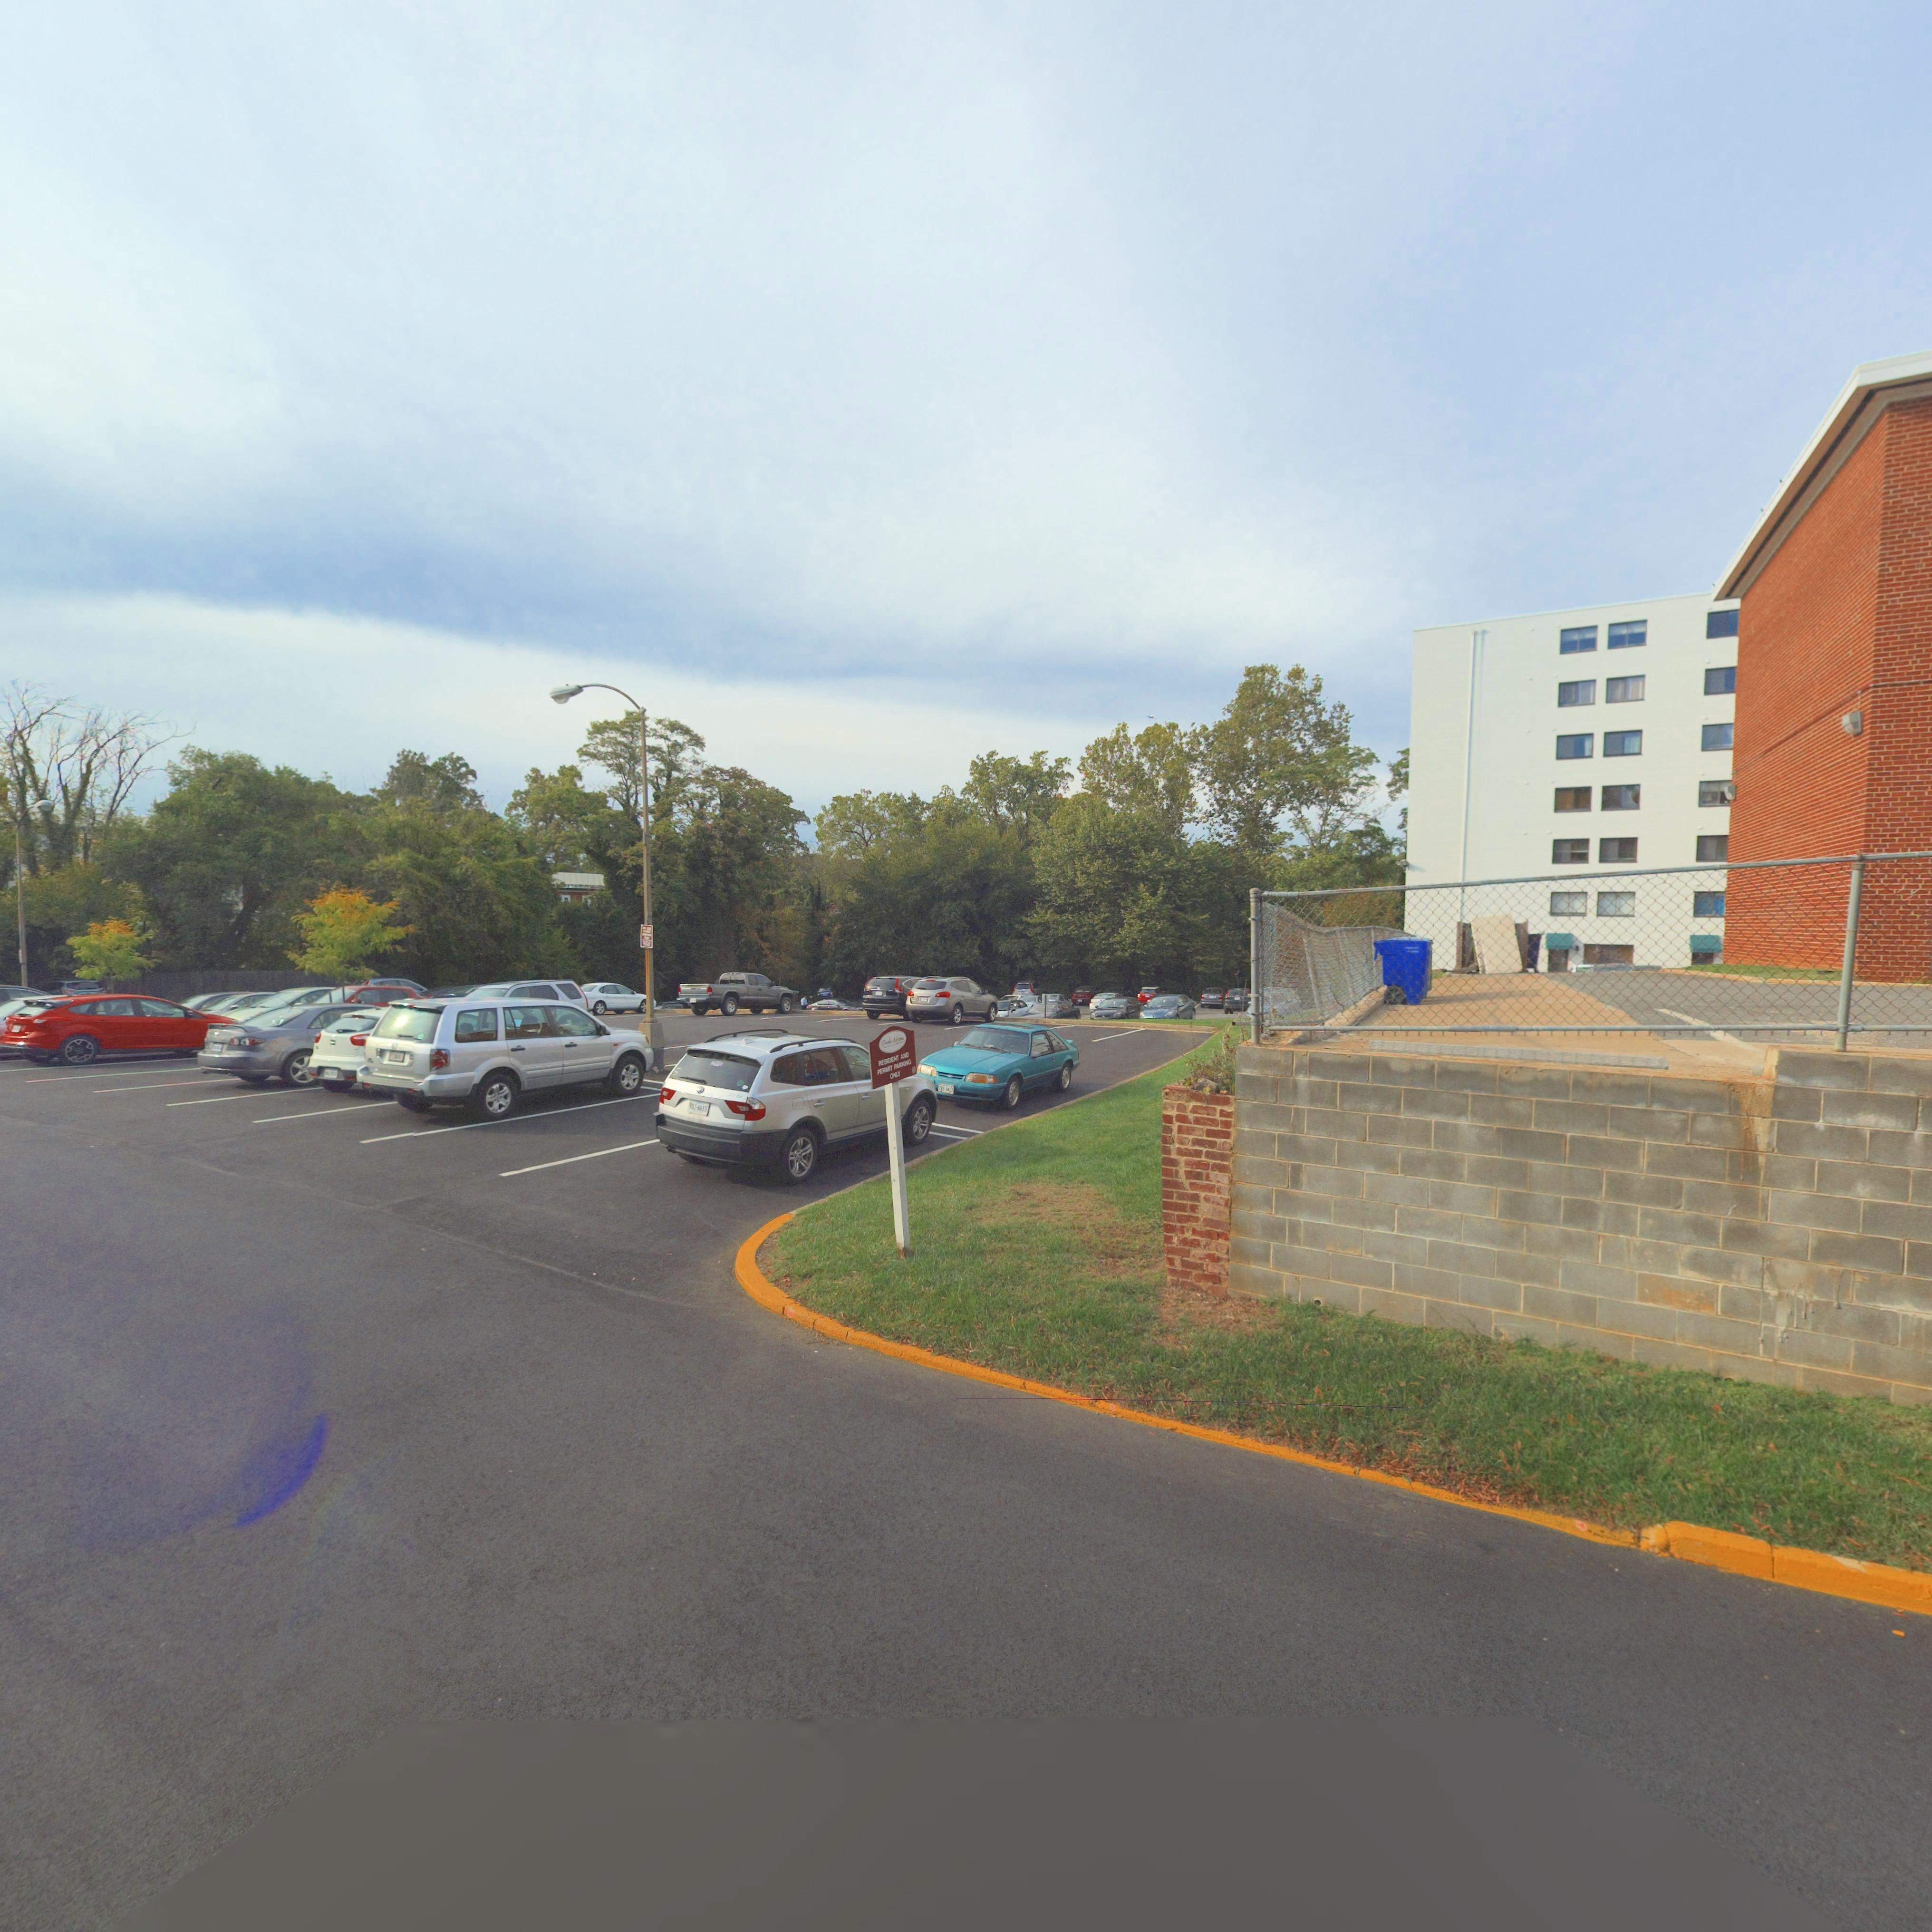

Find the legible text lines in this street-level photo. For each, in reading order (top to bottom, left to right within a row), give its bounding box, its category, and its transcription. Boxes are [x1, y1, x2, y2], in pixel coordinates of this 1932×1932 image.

[881, 1036, 904, 1047] None: DarkAdams
[878, 1051, 909, 1067] None: RESIDENT AND
[877, 1058, 911, 1076] None: PERMIT PARKING
[890, 1070, 901, 1081] None: ONLY
[938, 1085, 954, 1093] None: Z**-*4**
[688, 1102, 708, 1112] None: ***-**55